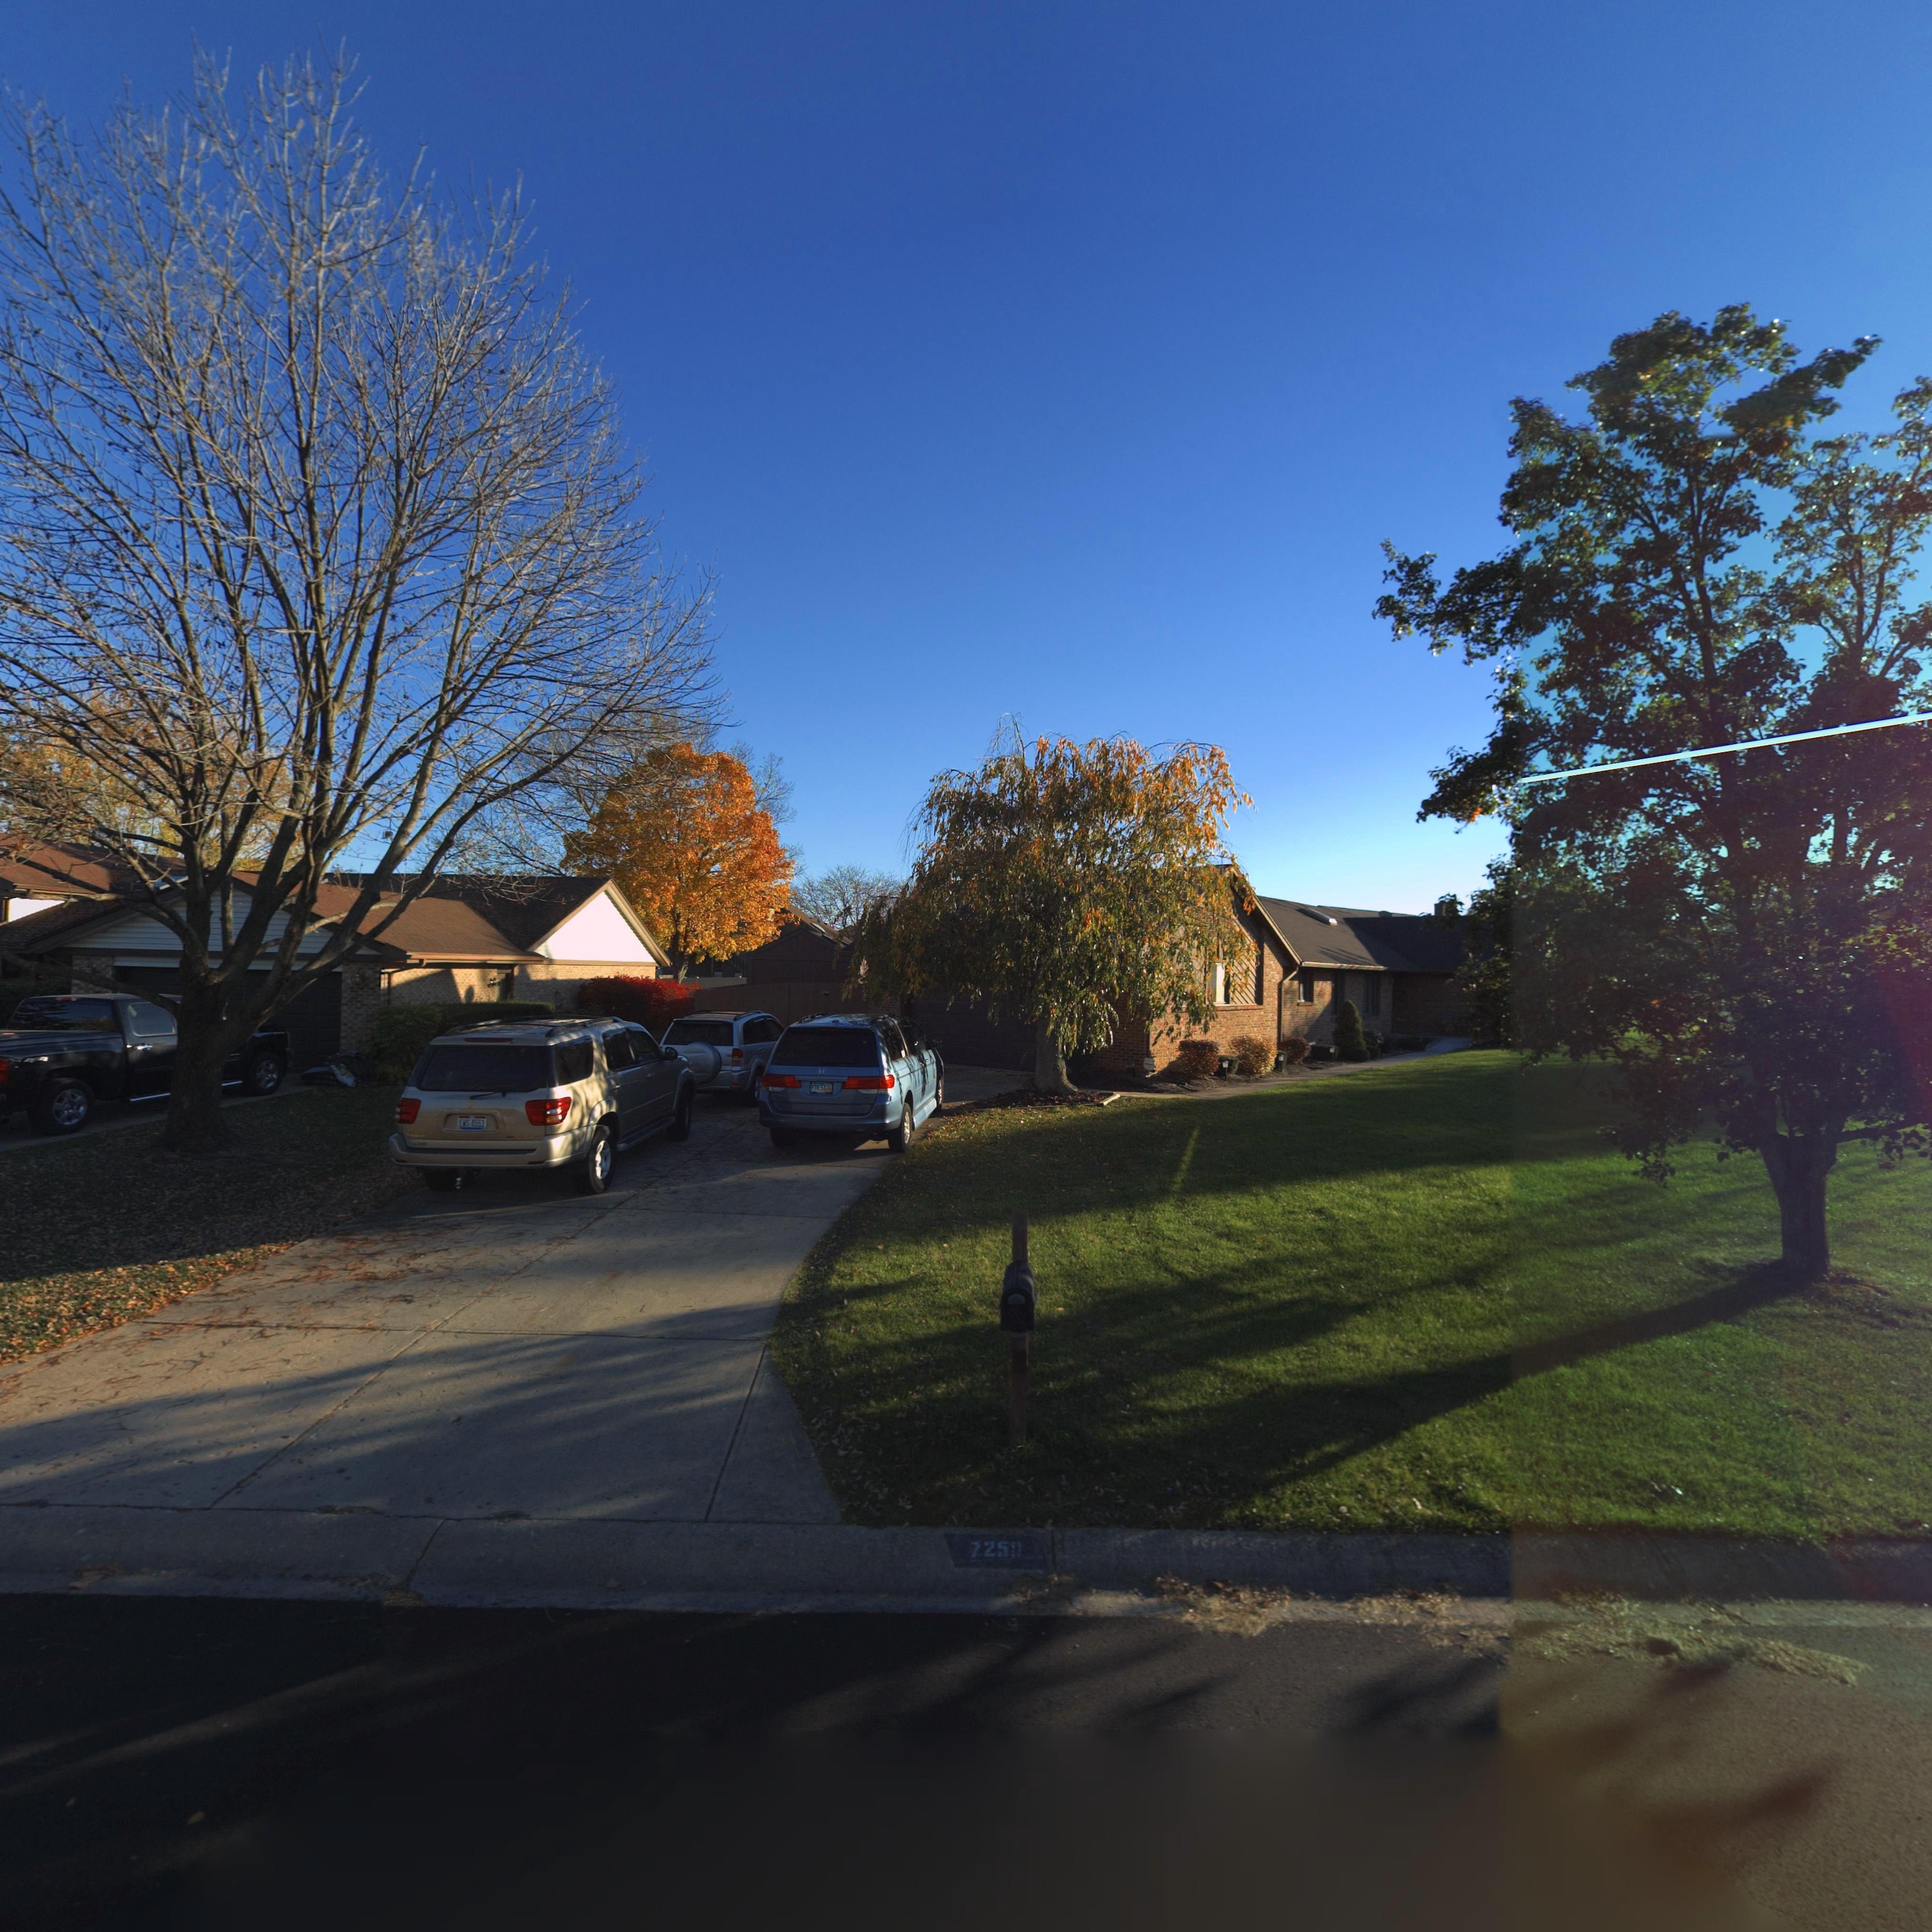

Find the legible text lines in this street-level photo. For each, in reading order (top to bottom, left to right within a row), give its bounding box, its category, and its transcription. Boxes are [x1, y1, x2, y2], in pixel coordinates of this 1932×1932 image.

[969, 1538, 1026, 1561] StreetNumber: 725*